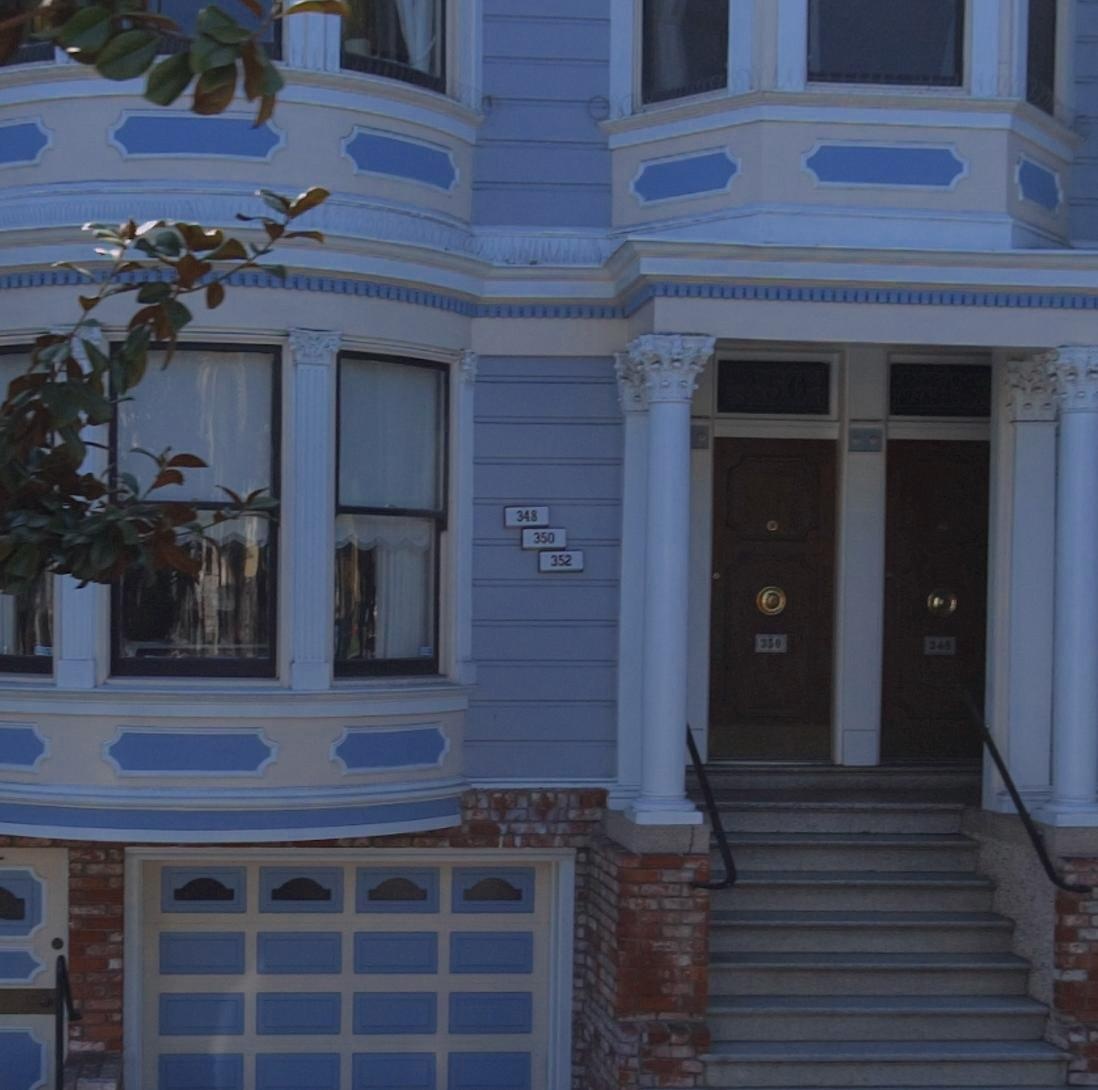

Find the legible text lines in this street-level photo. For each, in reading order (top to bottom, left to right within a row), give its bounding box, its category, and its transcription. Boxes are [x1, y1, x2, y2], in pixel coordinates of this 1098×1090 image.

[515, 510, 538, 523] StreetNumber: 348
[532, 531, 556, 544] StreetNumber: 350
[550, 553, 572, 567] StreetNumber: 352
[759, 636, 781, 649] StreetNumber: 350
[927, 640, 953, 652] StreetNumber: 348